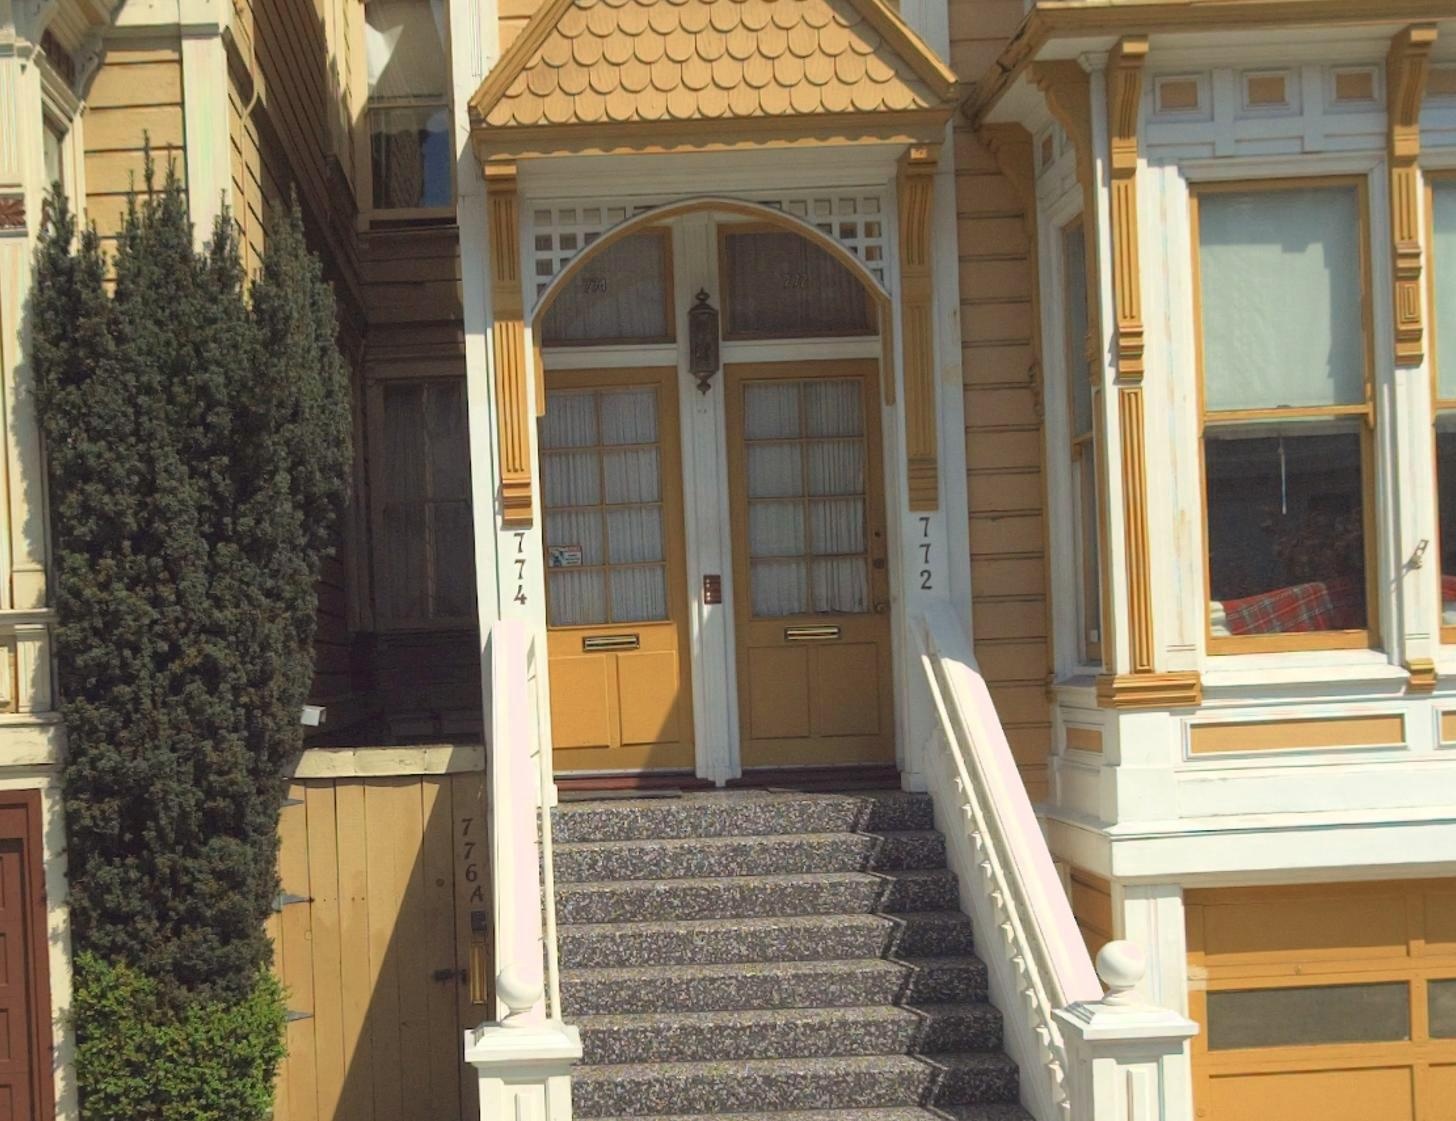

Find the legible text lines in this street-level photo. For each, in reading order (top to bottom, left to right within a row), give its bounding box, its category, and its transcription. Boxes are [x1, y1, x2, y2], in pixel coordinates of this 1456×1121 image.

[511, 531, 528, 608] StreetNumber: 774
[918, 515, 934, 591] StreetNumber: 772
[458, 815, 489, 905] StreetNumber: 776A